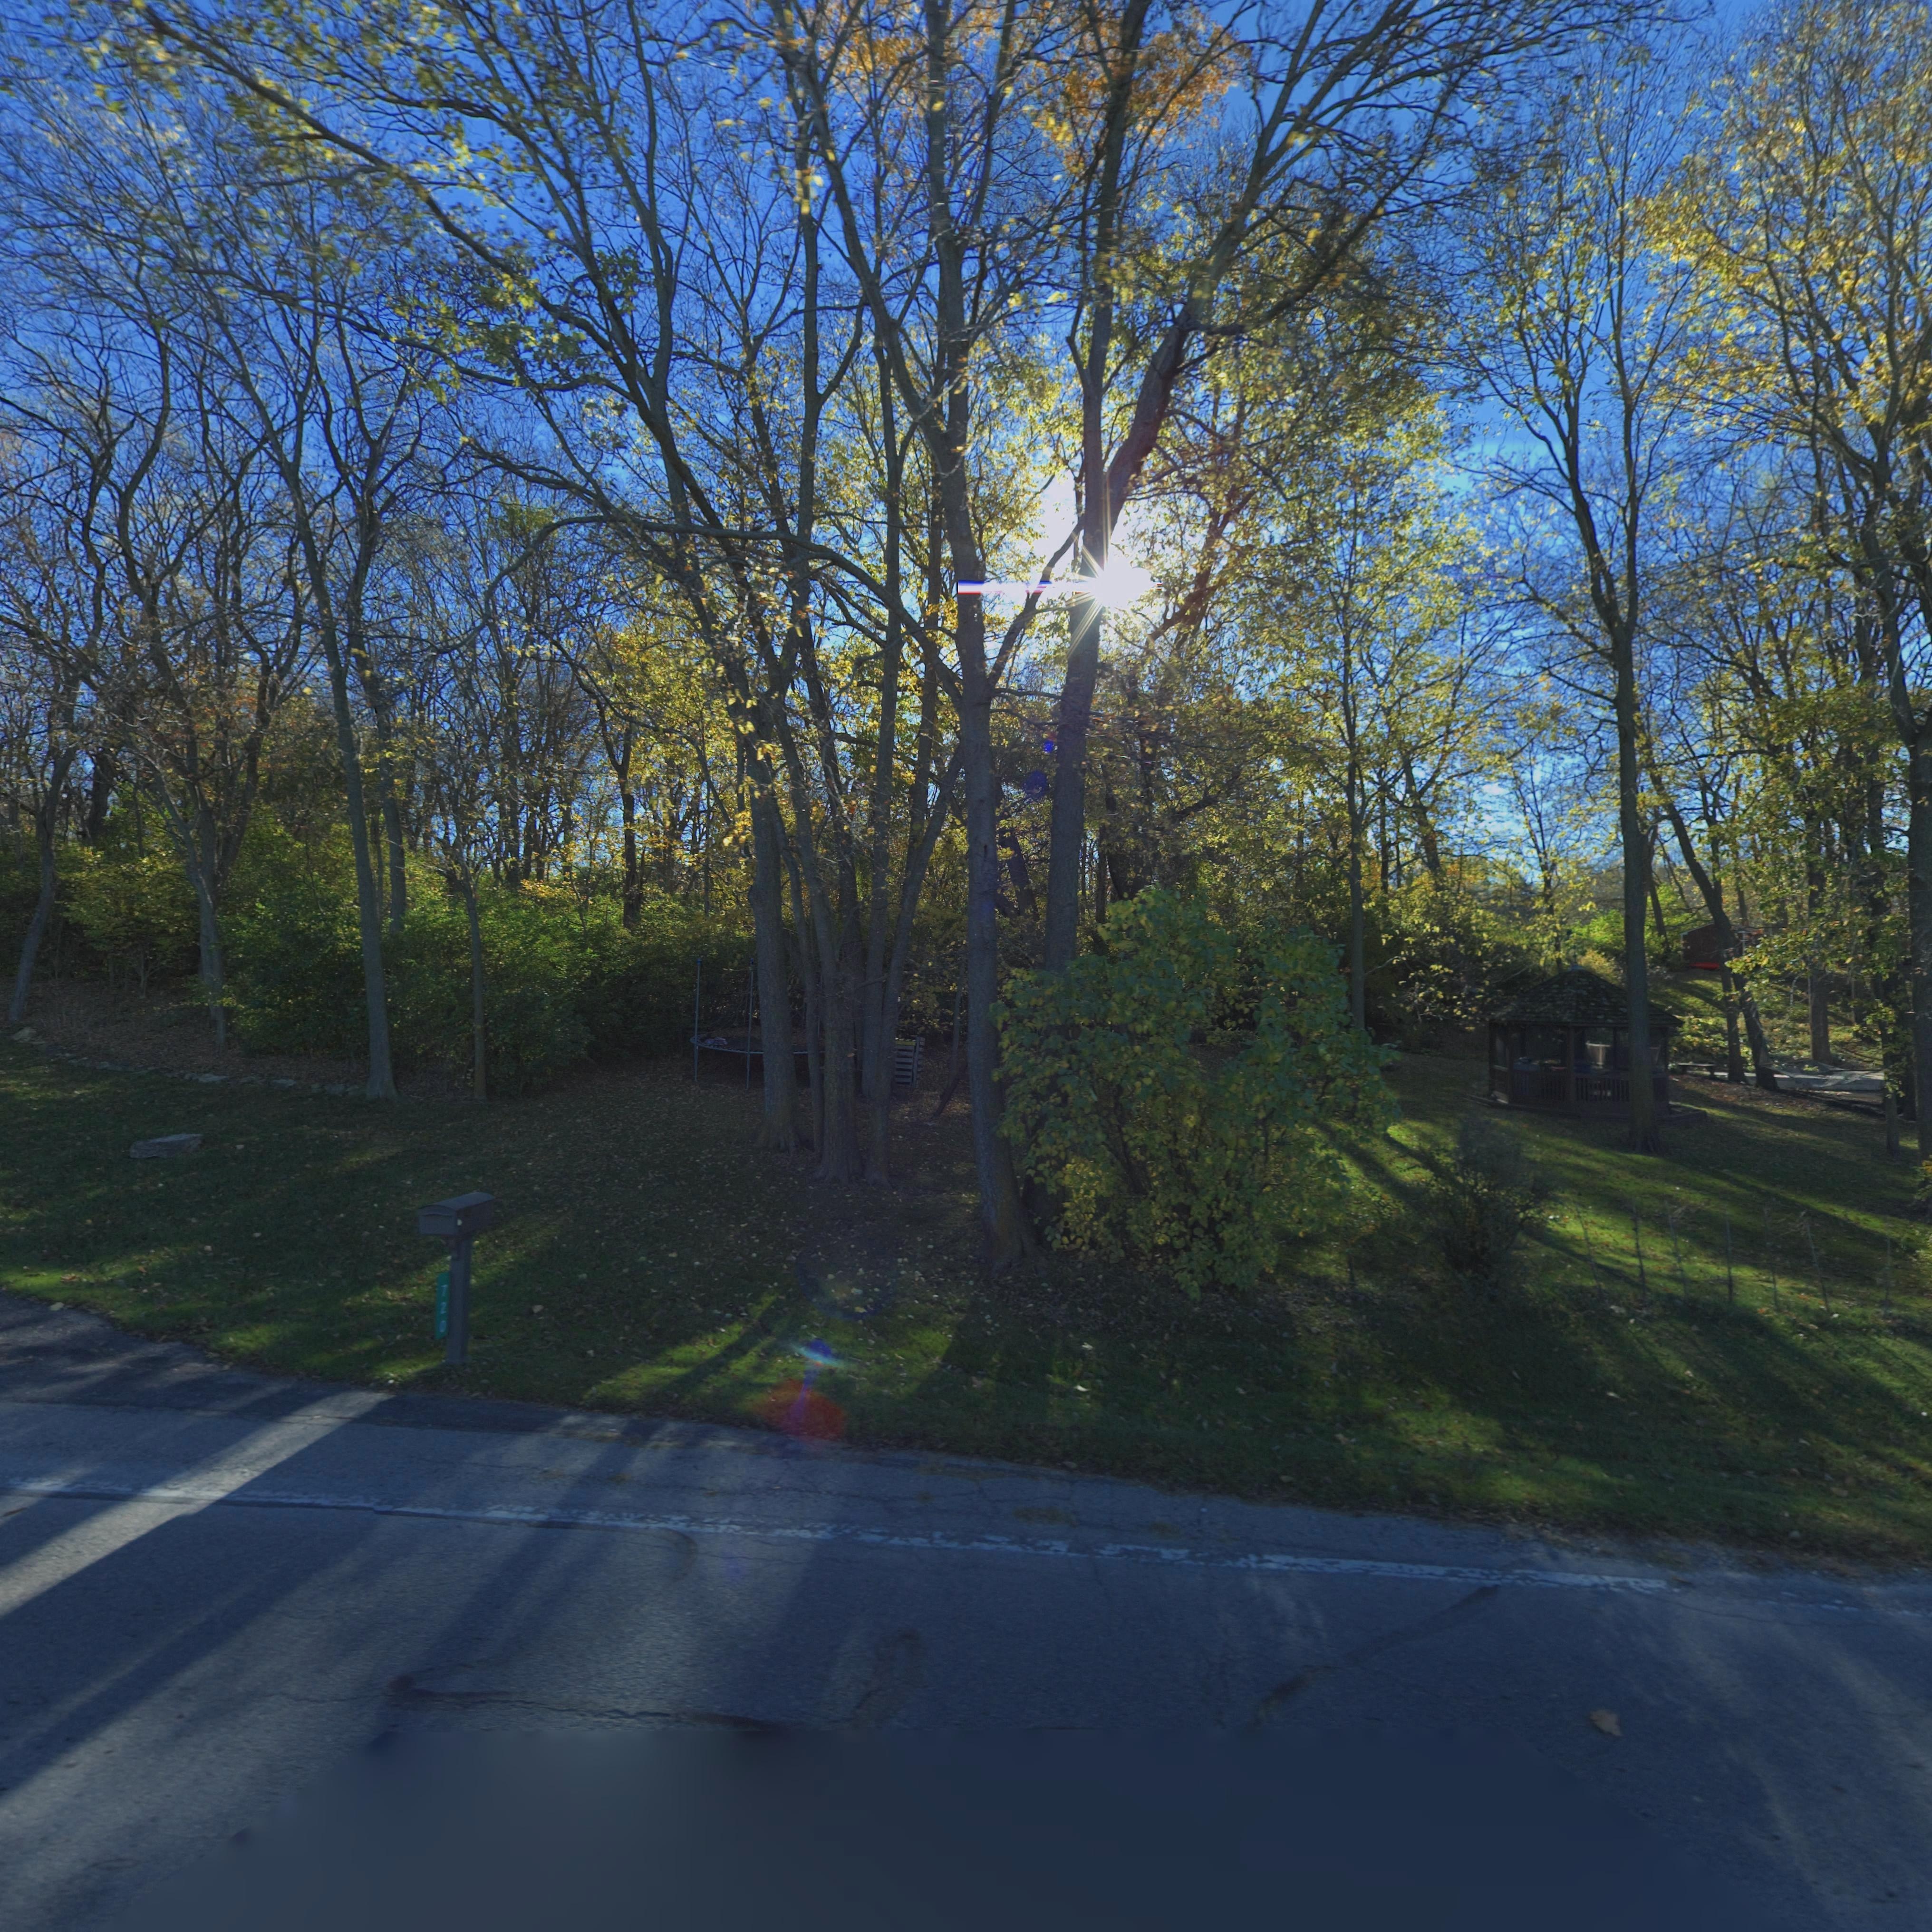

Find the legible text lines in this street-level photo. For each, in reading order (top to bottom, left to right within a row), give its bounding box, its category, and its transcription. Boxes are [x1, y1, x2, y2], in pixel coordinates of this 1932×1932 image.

[438, 1283, 449, 1335] StreetNumber: 720